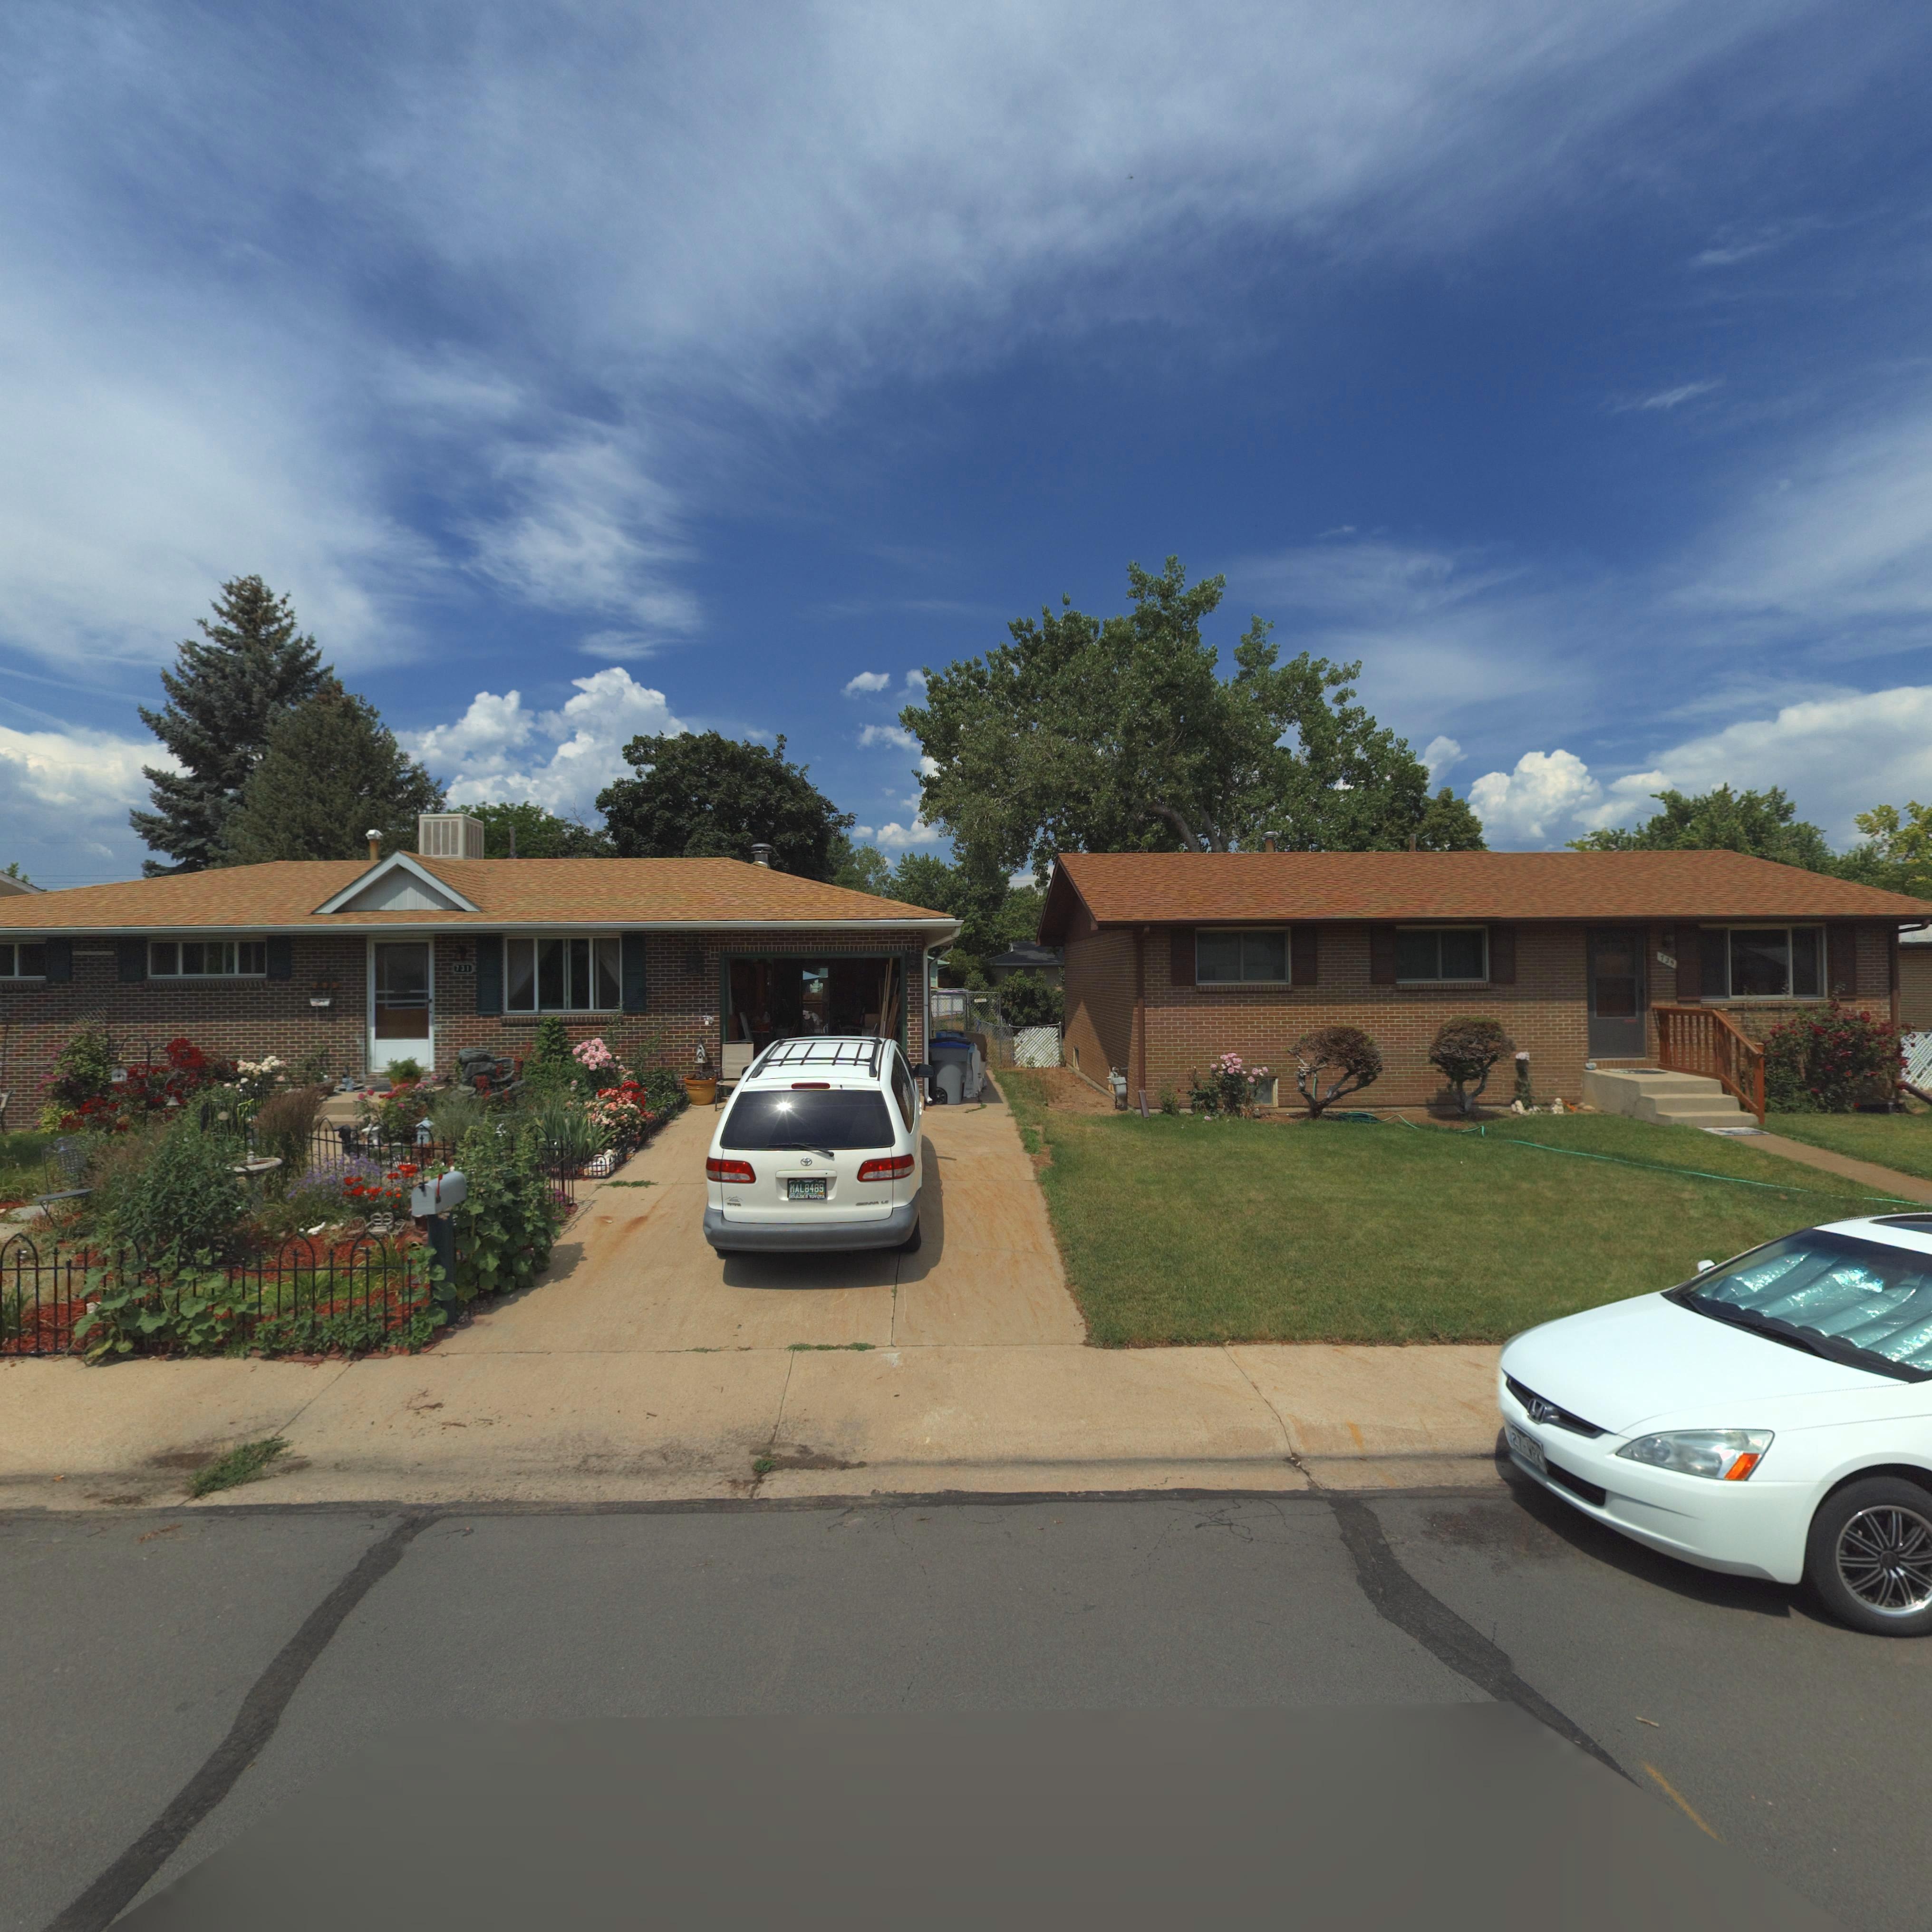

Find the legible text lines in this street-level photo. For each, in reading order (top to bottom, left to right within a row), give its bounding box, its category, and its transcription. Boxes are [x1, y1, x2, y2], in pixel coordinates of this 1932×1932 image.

[1658, 953, 1676, 966] StreetNumber: 725
[454, 965, 469, 972] StreetNumber: 731